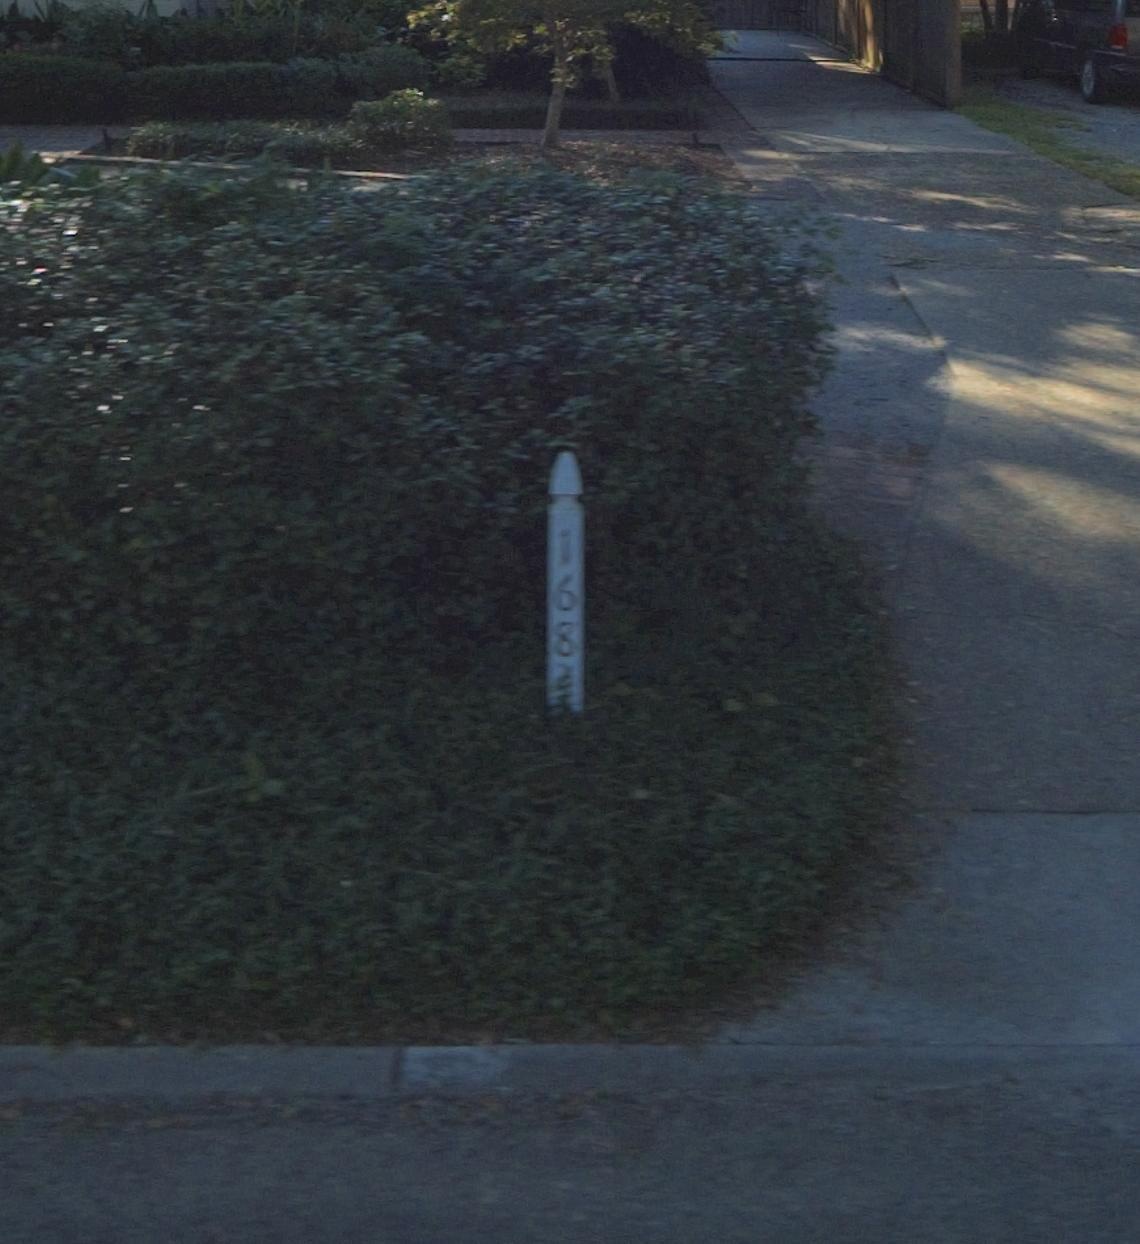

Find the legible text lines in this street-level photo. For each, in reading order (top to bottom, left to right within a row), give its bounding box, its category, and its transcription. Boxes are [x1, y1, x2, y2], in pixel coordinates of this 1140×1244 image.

[548, 522, 583, 662] StreetNumber: 168